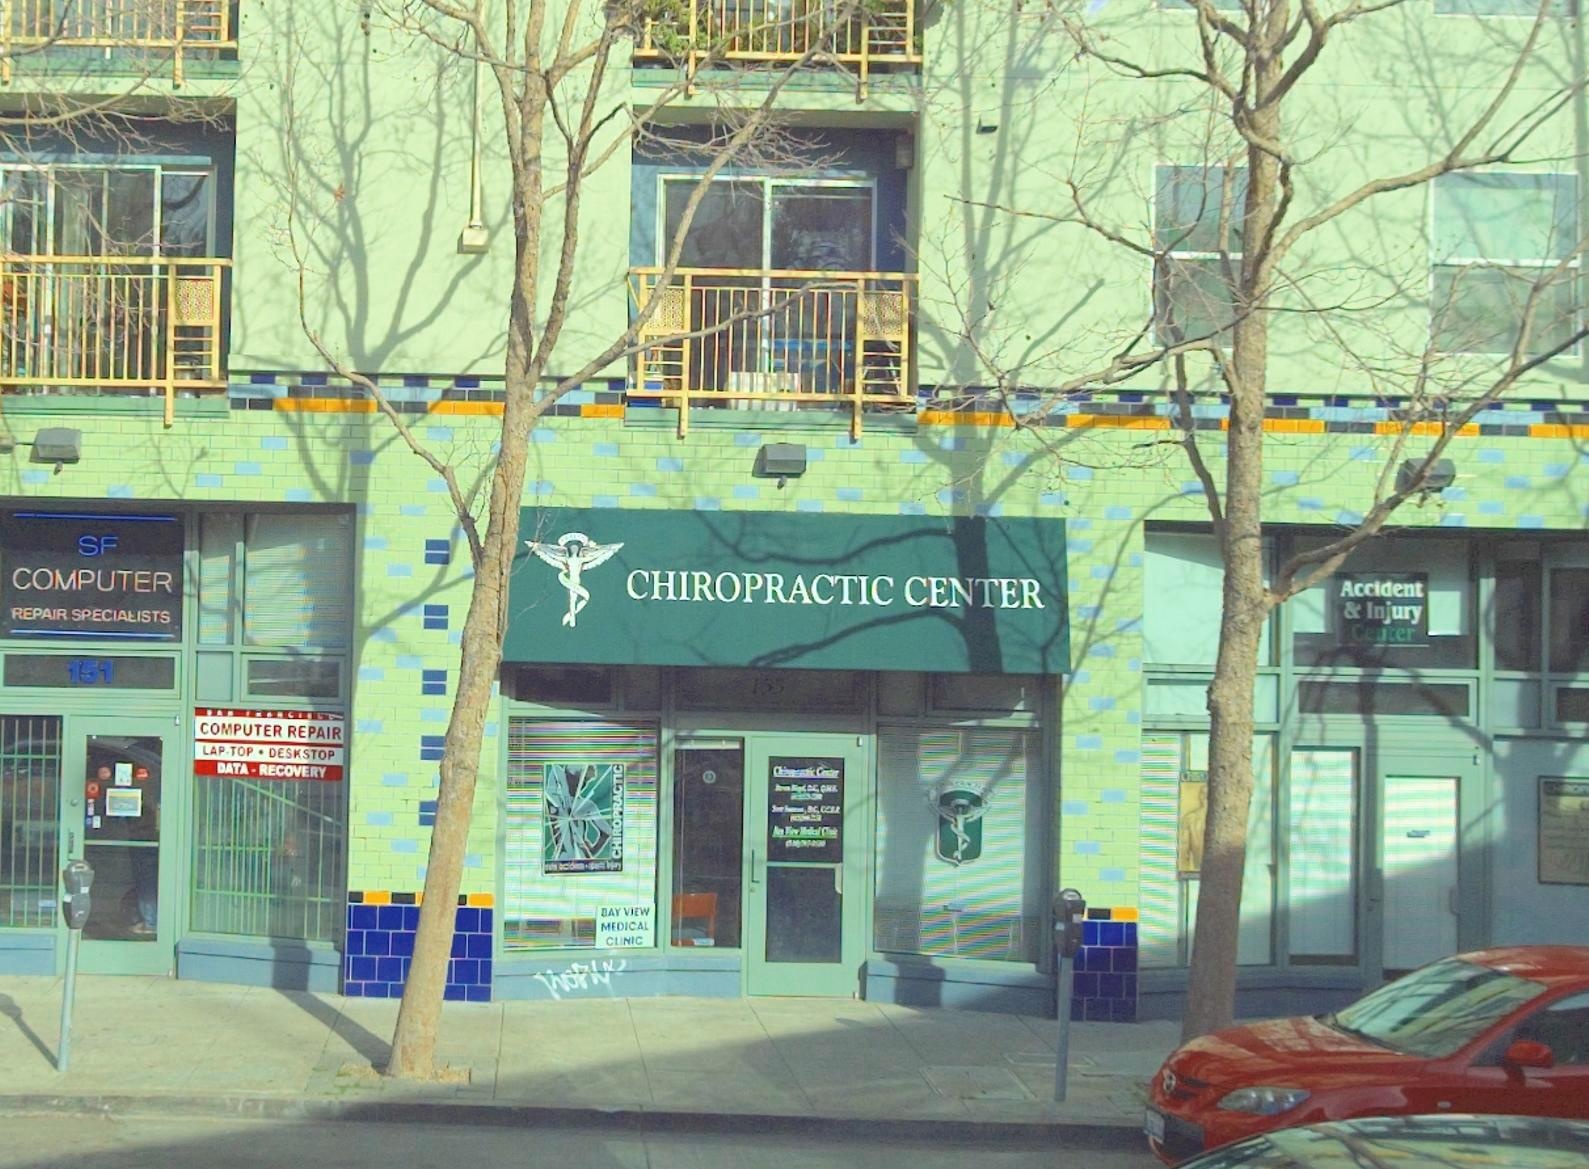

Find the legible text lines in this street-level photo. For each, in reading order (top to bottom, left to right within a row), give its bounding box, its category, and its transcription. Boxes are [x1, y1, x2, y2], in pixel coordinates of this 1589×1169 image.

[74, 530, 121, 561] BusinessName: SF
[10, 562, 176, 598] BusinessName: COMPUTER
[623, 564, 1049, 613] BusinessName: CHIROPRACTIC CENTER
[1335, 575, 1428, 600] BusinessName: Accident
[8, 603, 173, 627] BusinessName: REPAIR SPECIALISTS
[1364, 597, 1427, 627] BusinessName: Injury
[1346, 620, 1419, 645] BusinessName: Center
[63, 655, 119, 688] StreetNumber: 151
[748, 674, 788, 697] StreetNumber: 155
[197, 718, 344, 742] None: COMPUTER REPAIR
[200, 742, 338, 763] None: LAP-TOP * DESKSTOP
[213, 758, 331, 780] None: DATA - RECOVERY
[609, 762, 625, 861] None: CHIROPRACTIC
[598, 903, 653, 920] None: BAY VIEW
[599, 917, 652, 935] None: MEDICAL
[602, 932, 646, 949] None: CLINIC